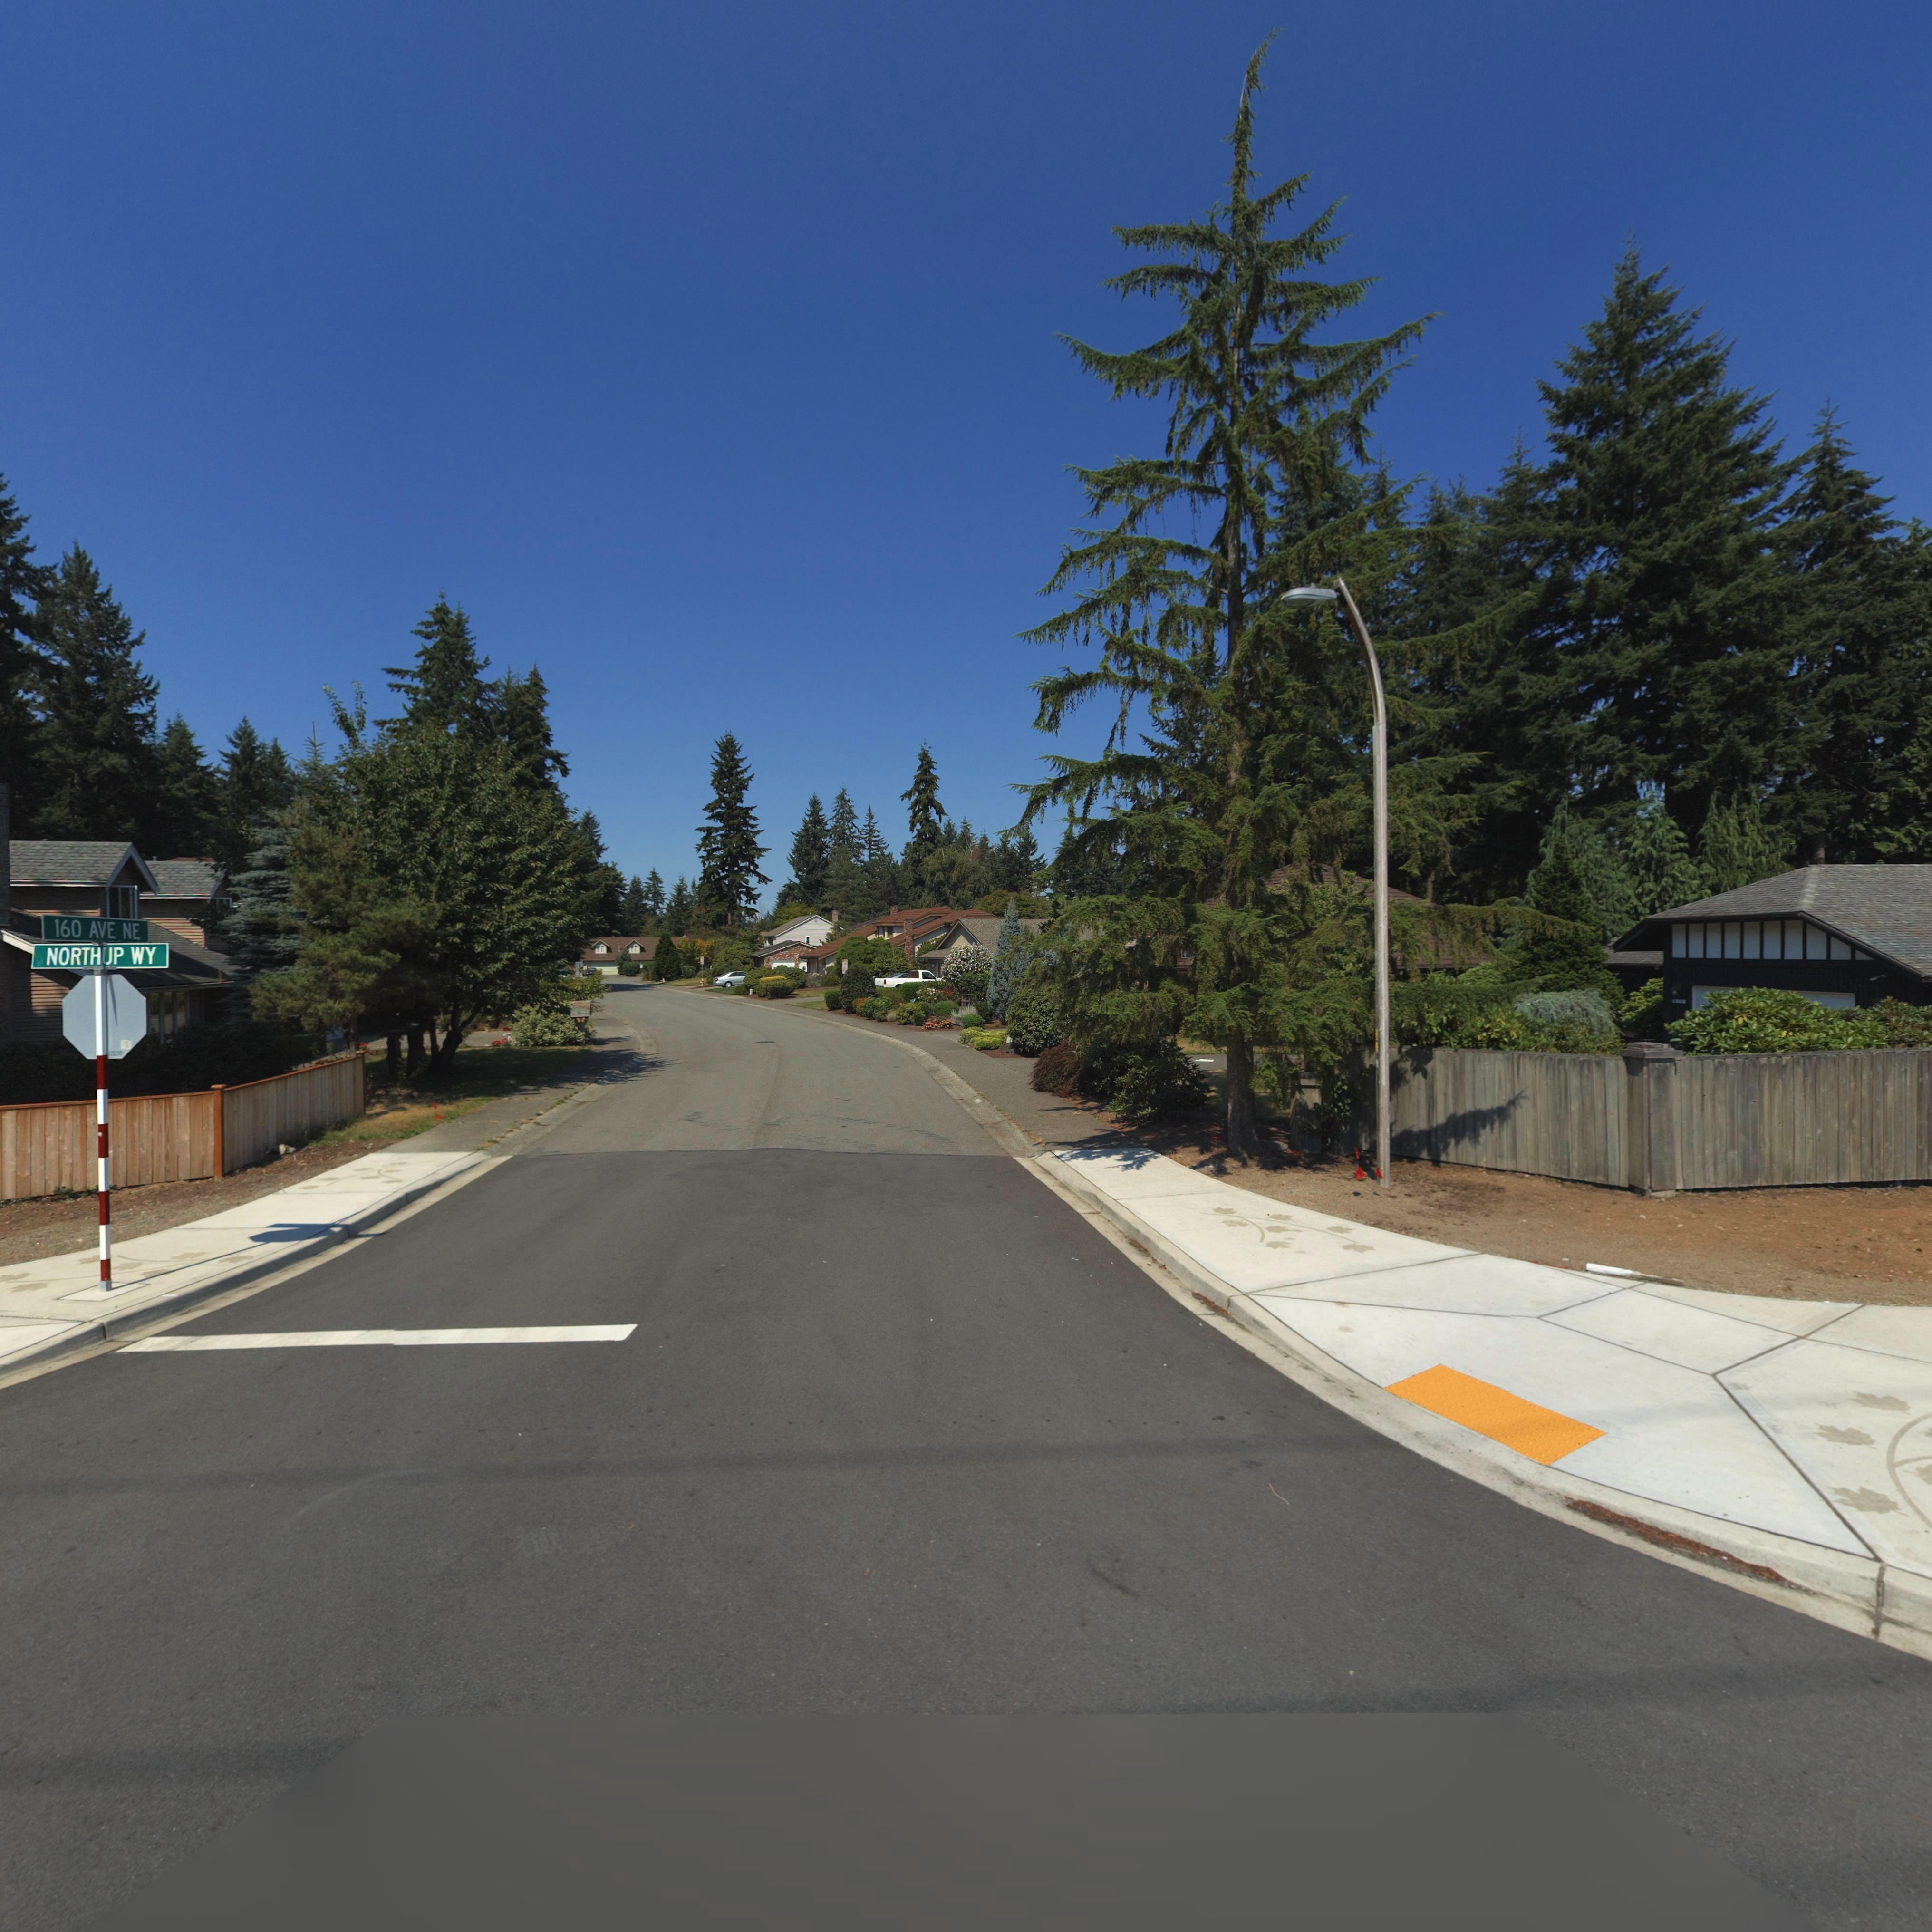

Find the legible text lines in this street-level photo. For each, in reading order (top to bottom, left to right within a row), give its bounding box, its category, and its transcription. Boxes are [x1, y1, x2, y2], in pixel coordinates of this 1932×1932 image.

[54, 919, 140, 939] StreetName: 160 AVE NE
[47, 947, 155, 965] StreetName: NORTHUP WY